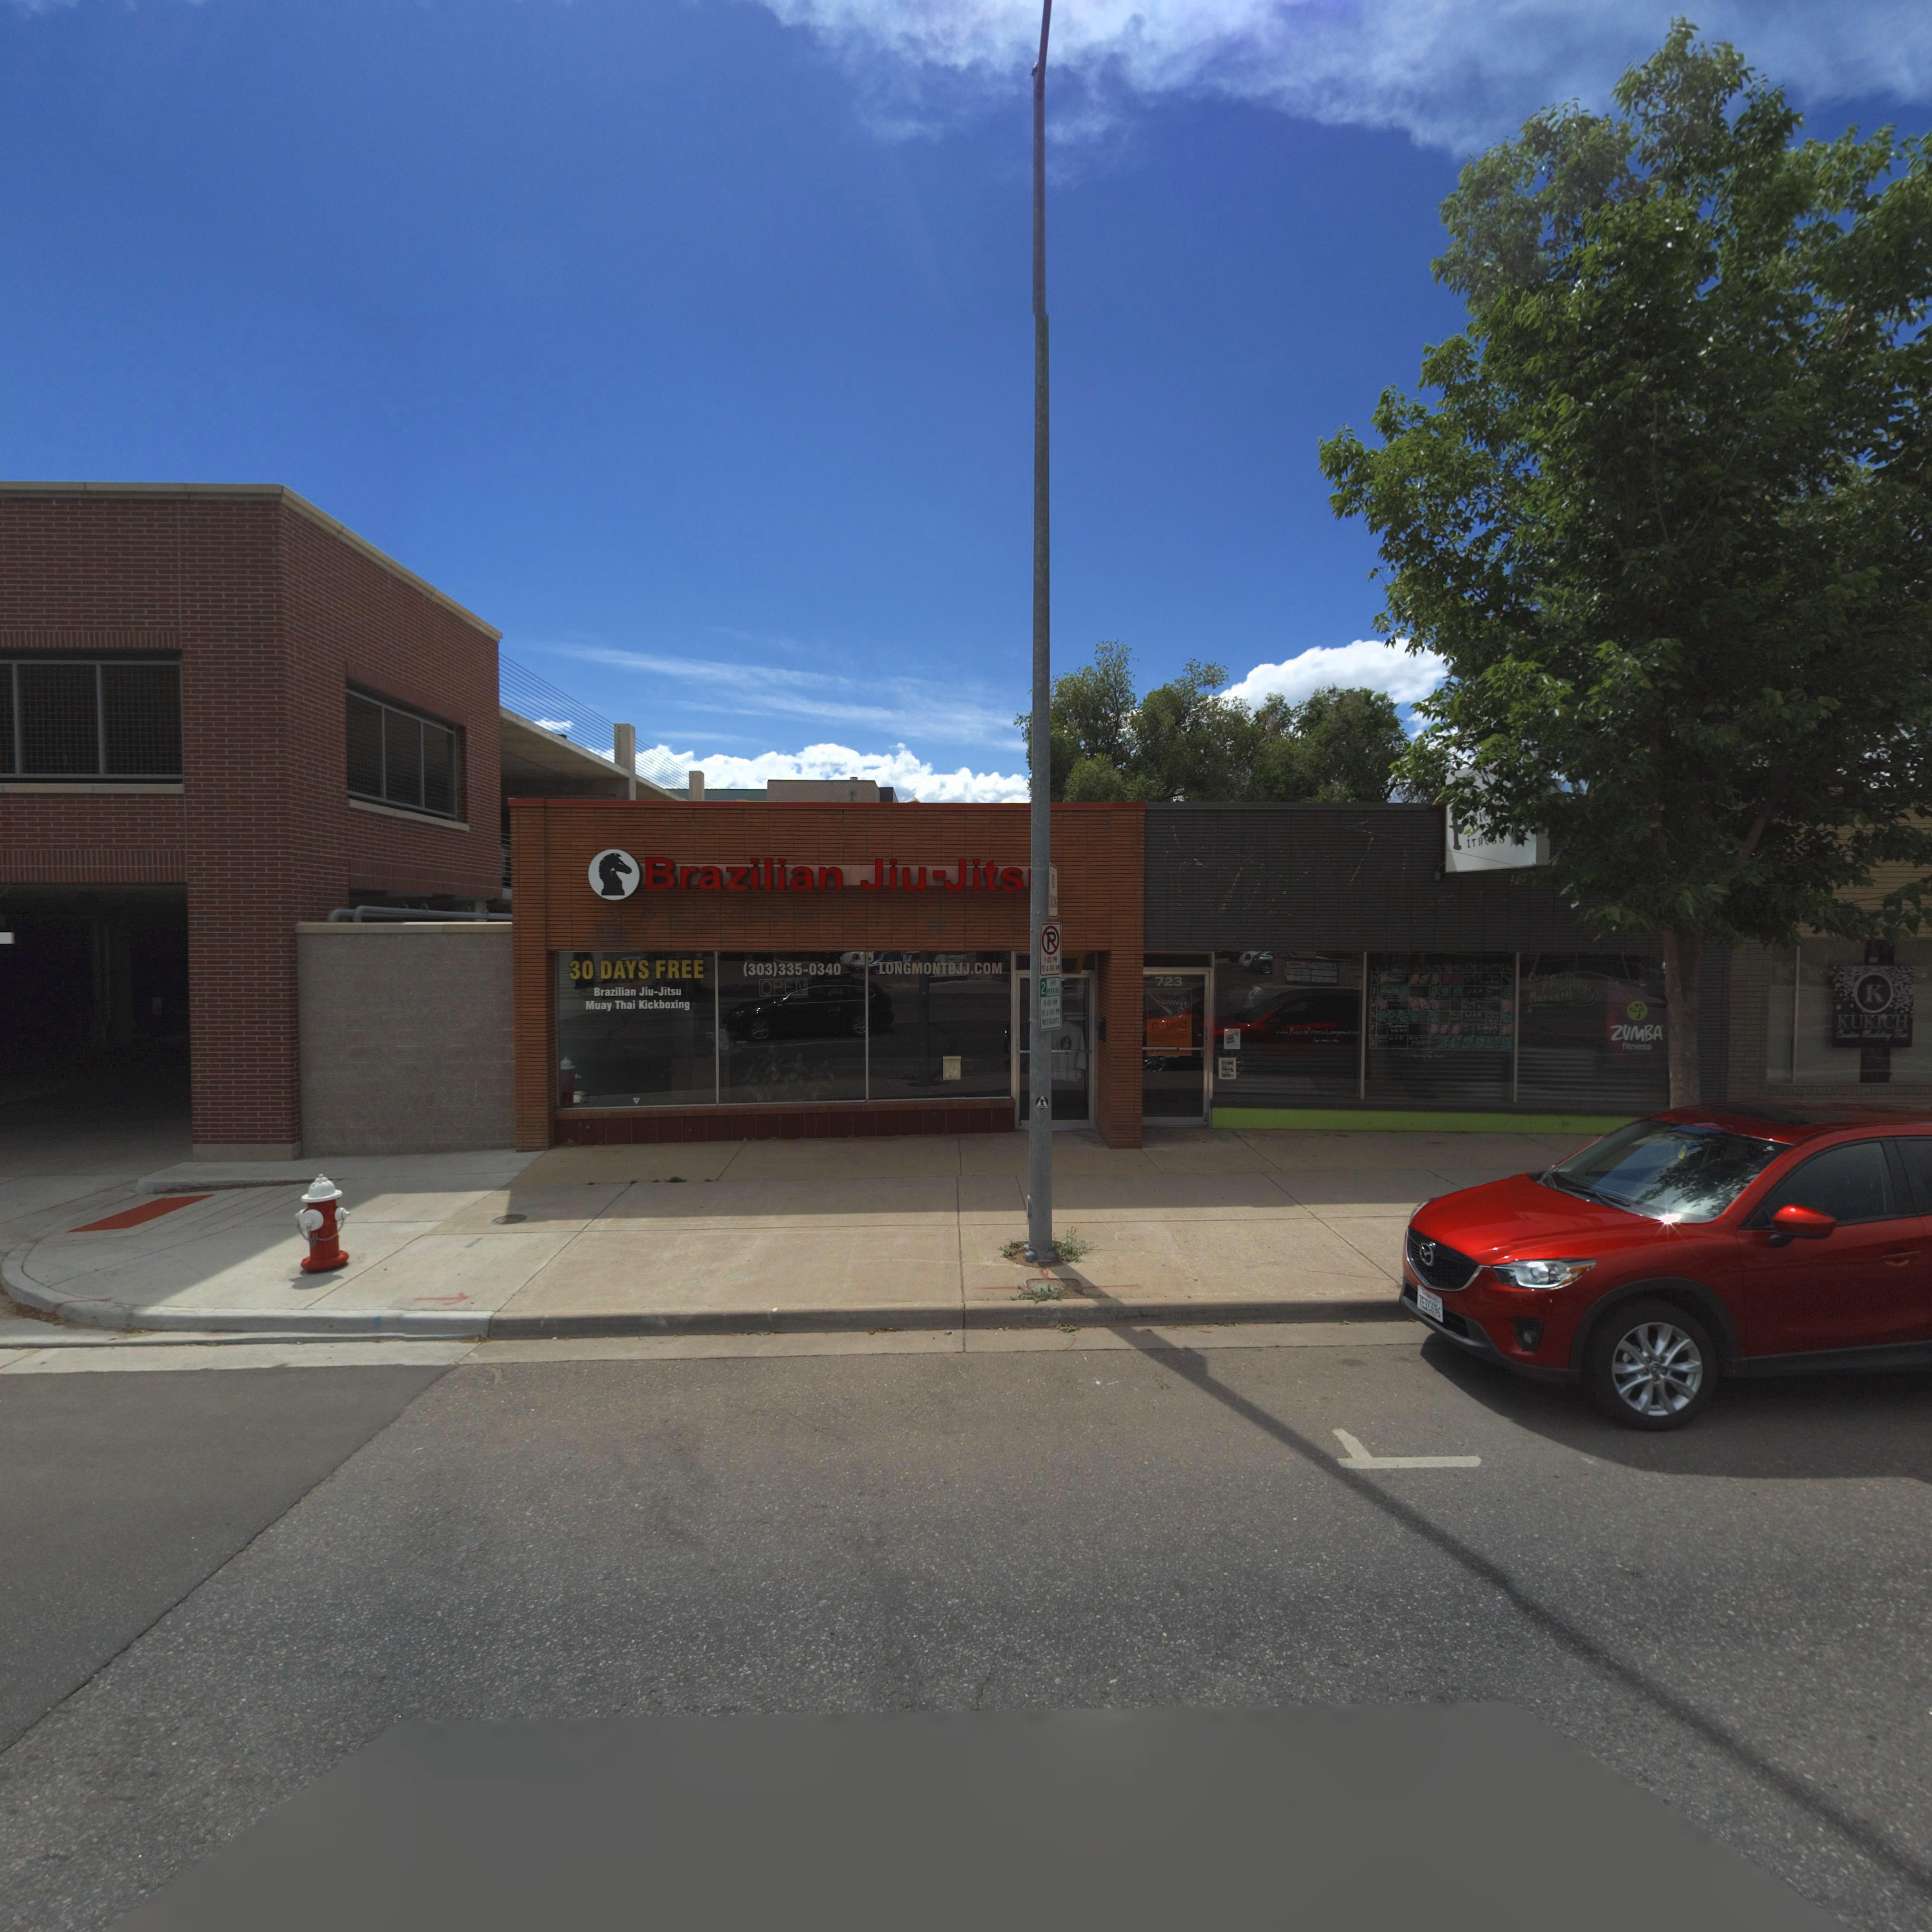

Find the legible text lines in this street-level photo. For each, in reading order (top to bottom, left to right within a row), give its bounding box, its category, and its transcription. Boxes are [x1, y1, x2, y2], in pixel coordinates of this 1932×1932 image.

[1466, 834, 1483, 848] BusinessName: itn
[643, 855, 1026, 892] BusinessName: Brazilian Jiu-Jits
[1155, 976, 1182, 986] StreetNumber: 723